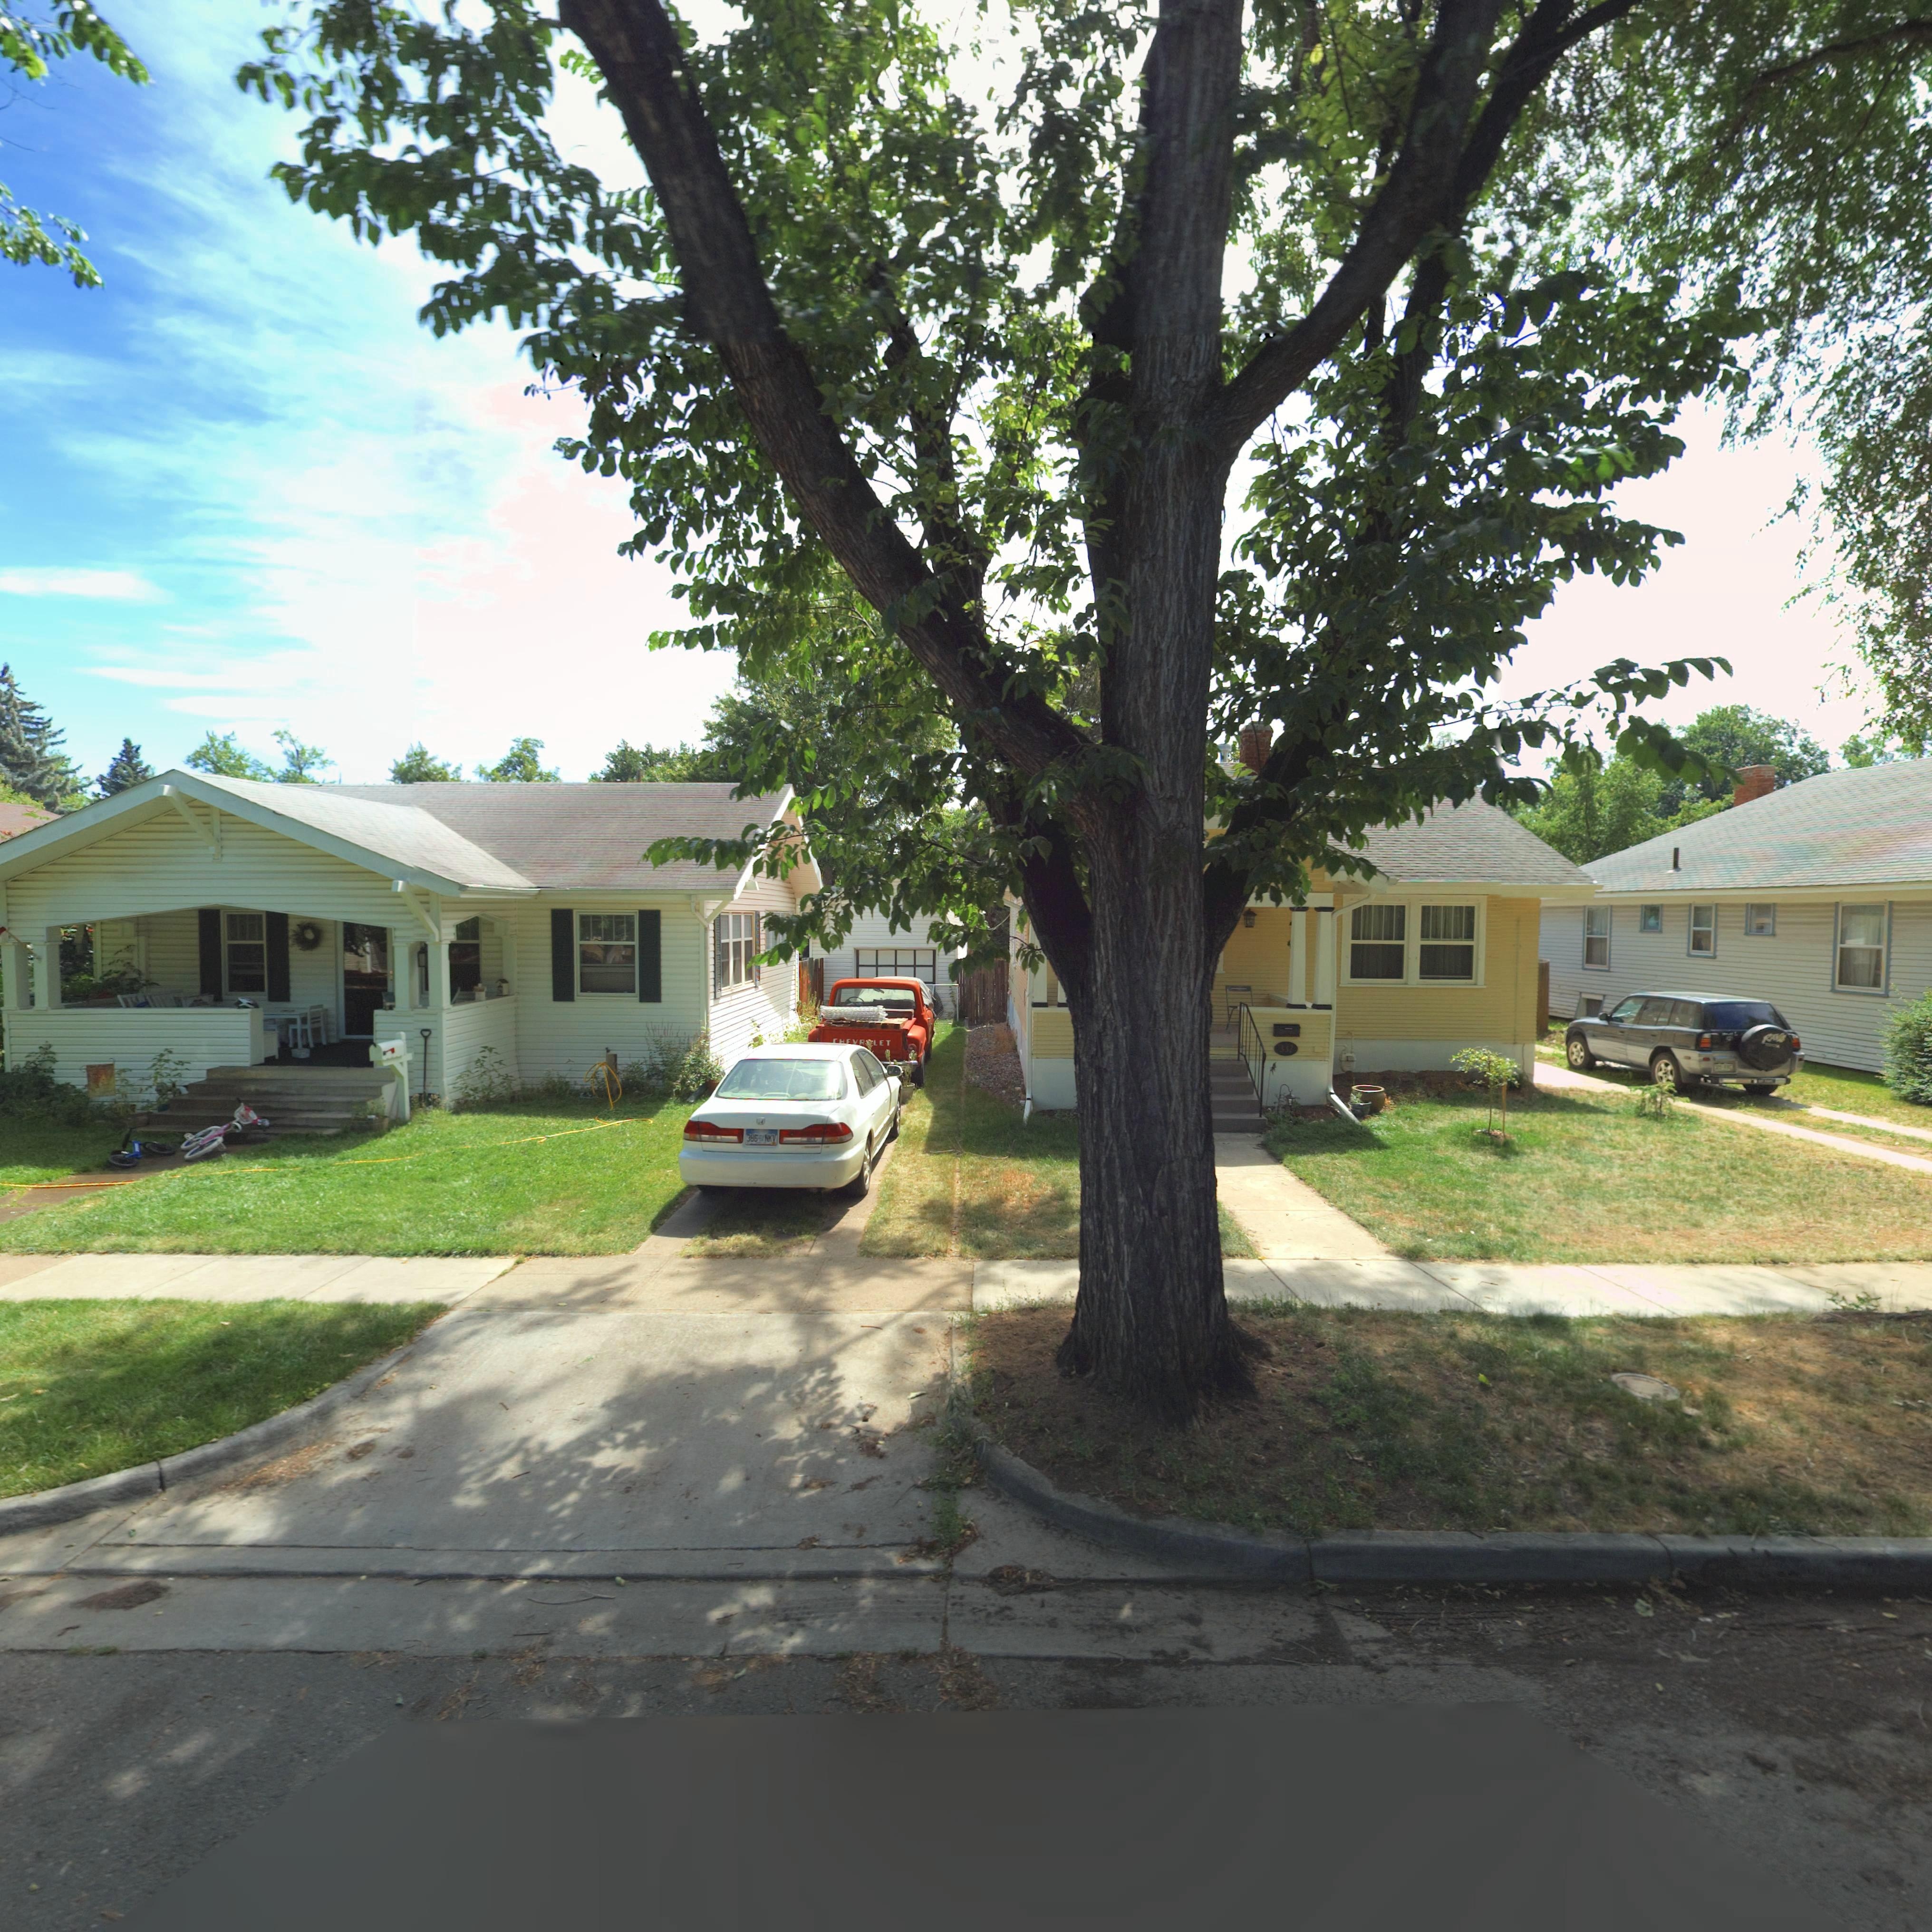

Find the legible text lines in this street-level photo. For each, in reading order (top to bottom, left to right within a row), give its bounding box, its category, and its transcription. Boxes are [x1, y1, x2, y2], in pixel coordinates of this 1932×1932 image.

[1278, 1044, 1293, 1052] StreetNumber: 332